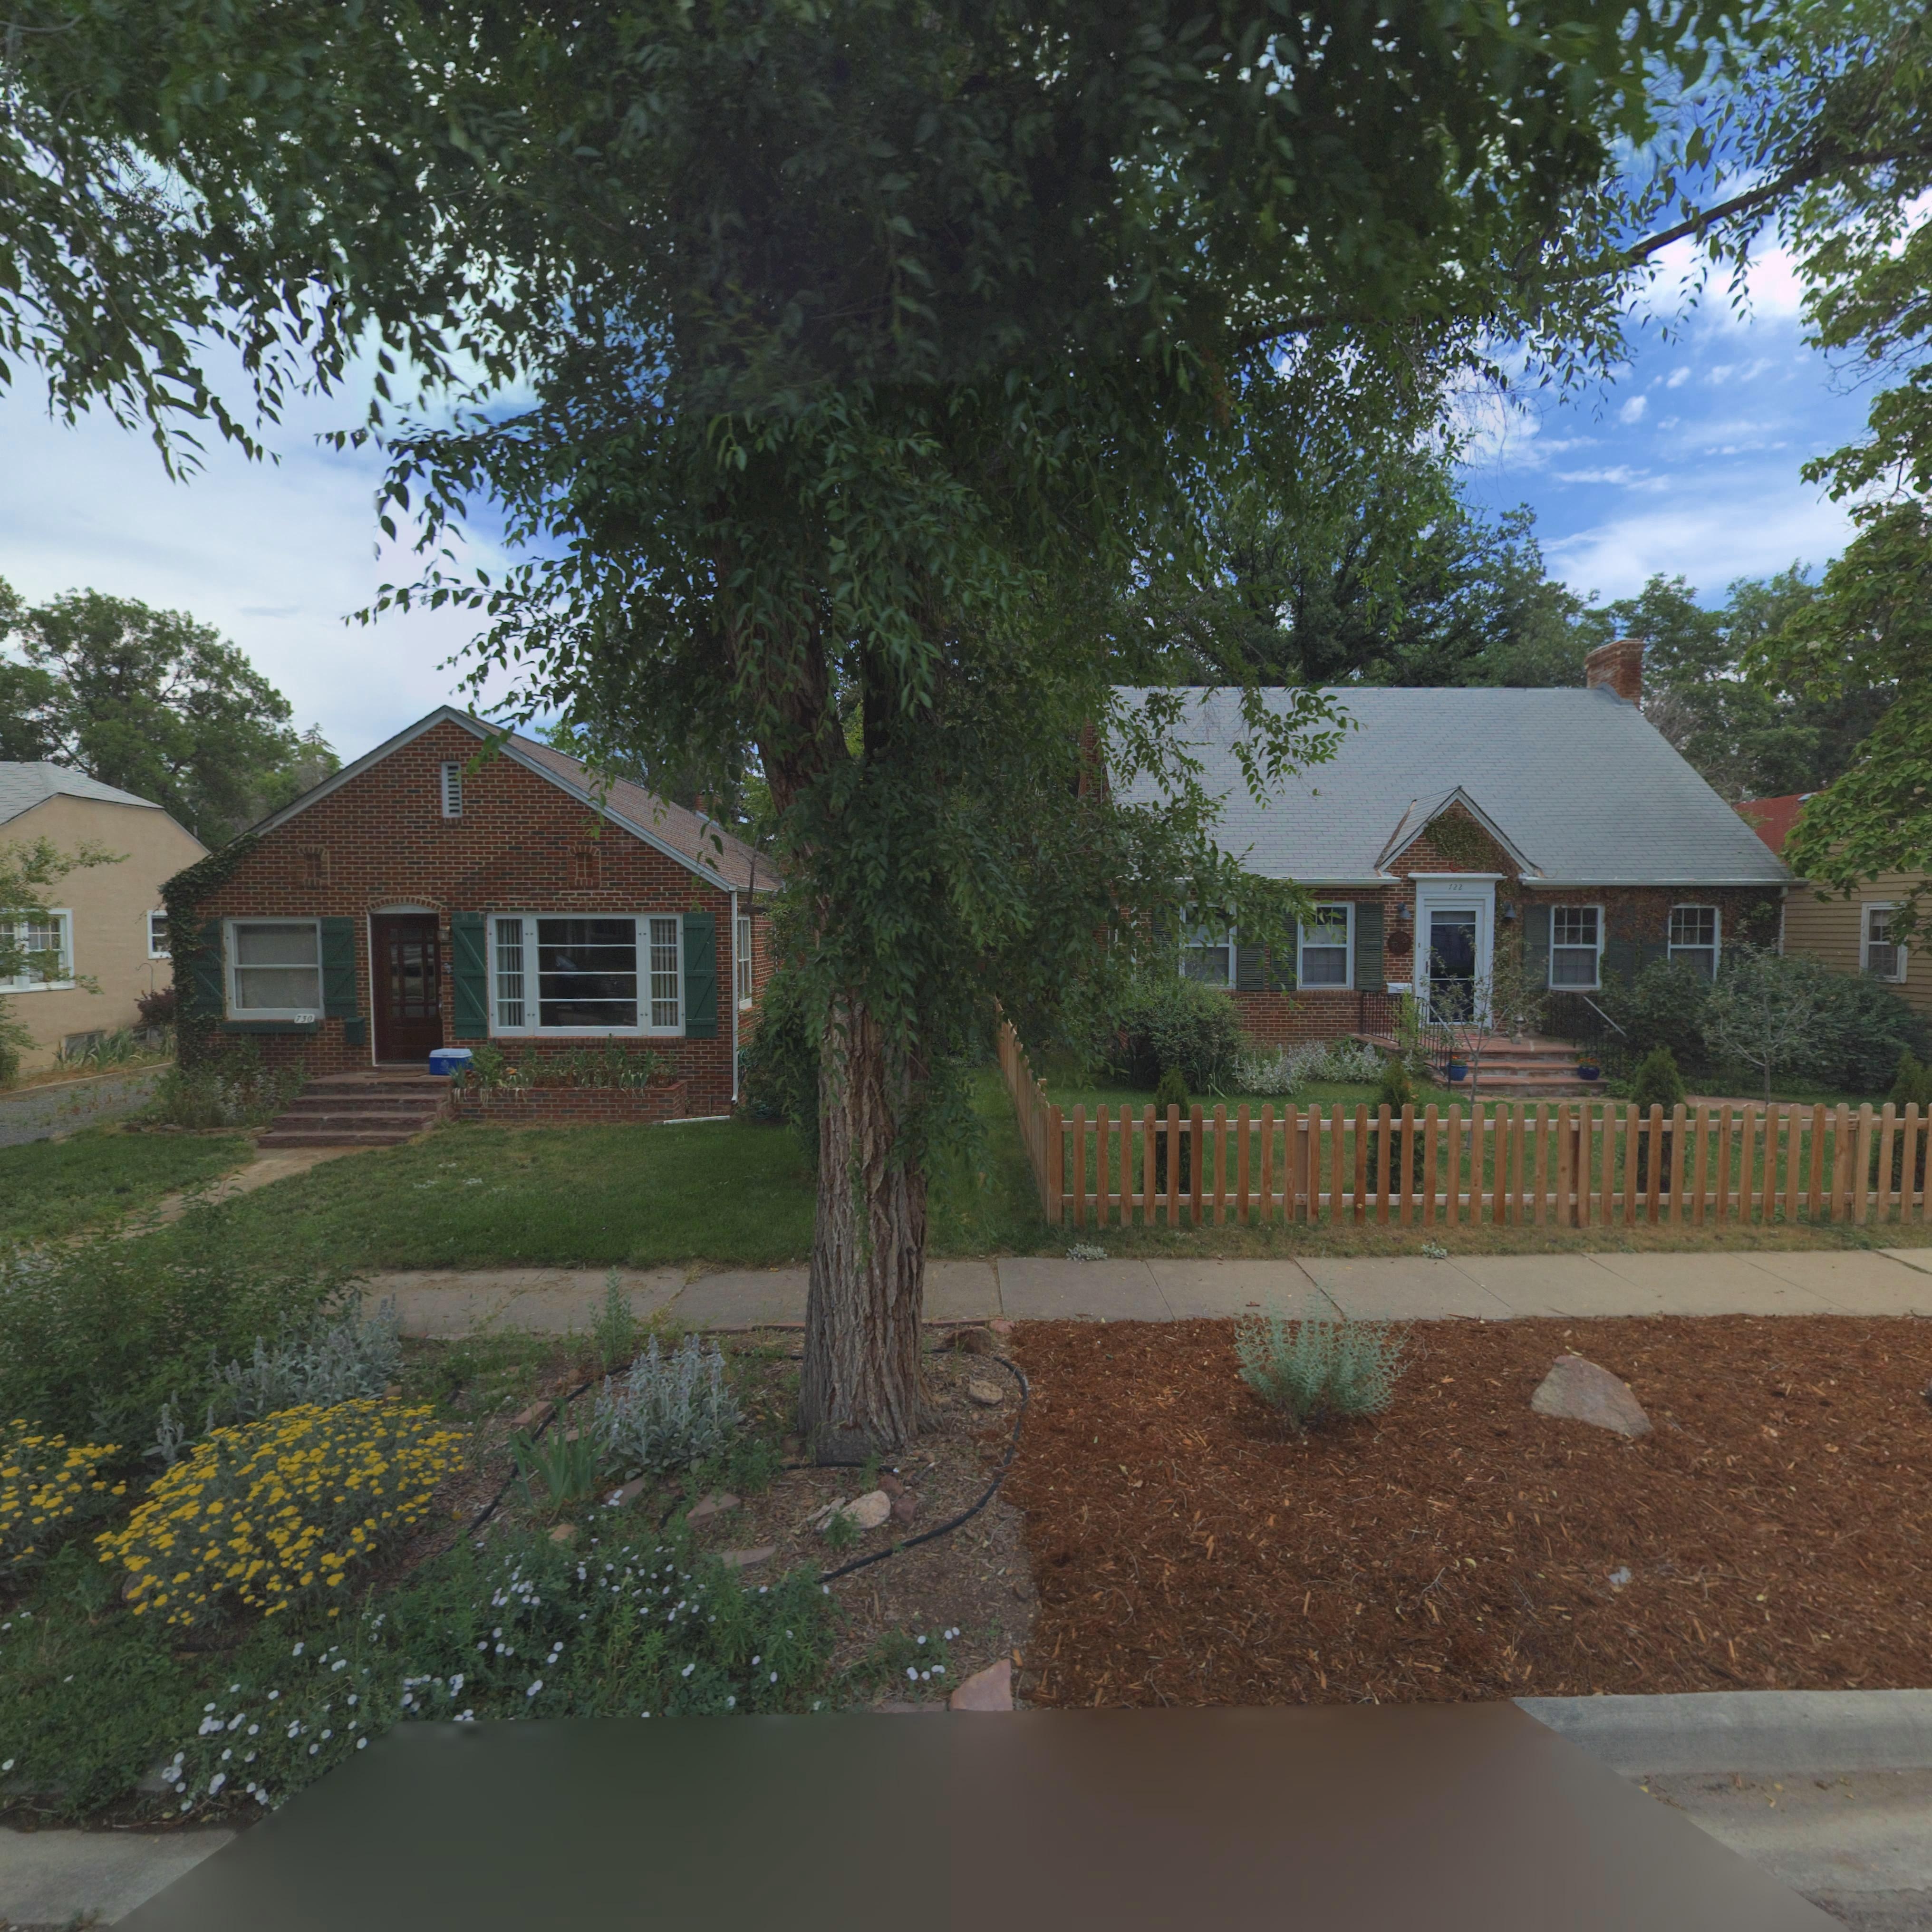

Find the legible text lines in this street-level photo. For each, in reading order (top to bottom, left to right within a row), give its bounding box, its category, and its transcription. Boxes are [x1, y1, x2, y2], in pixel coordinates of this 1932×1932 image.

[1448, 884, 1462, 890] StreetNumber: 722
[295, 1015, 312, 1022] StreetNumber: 730